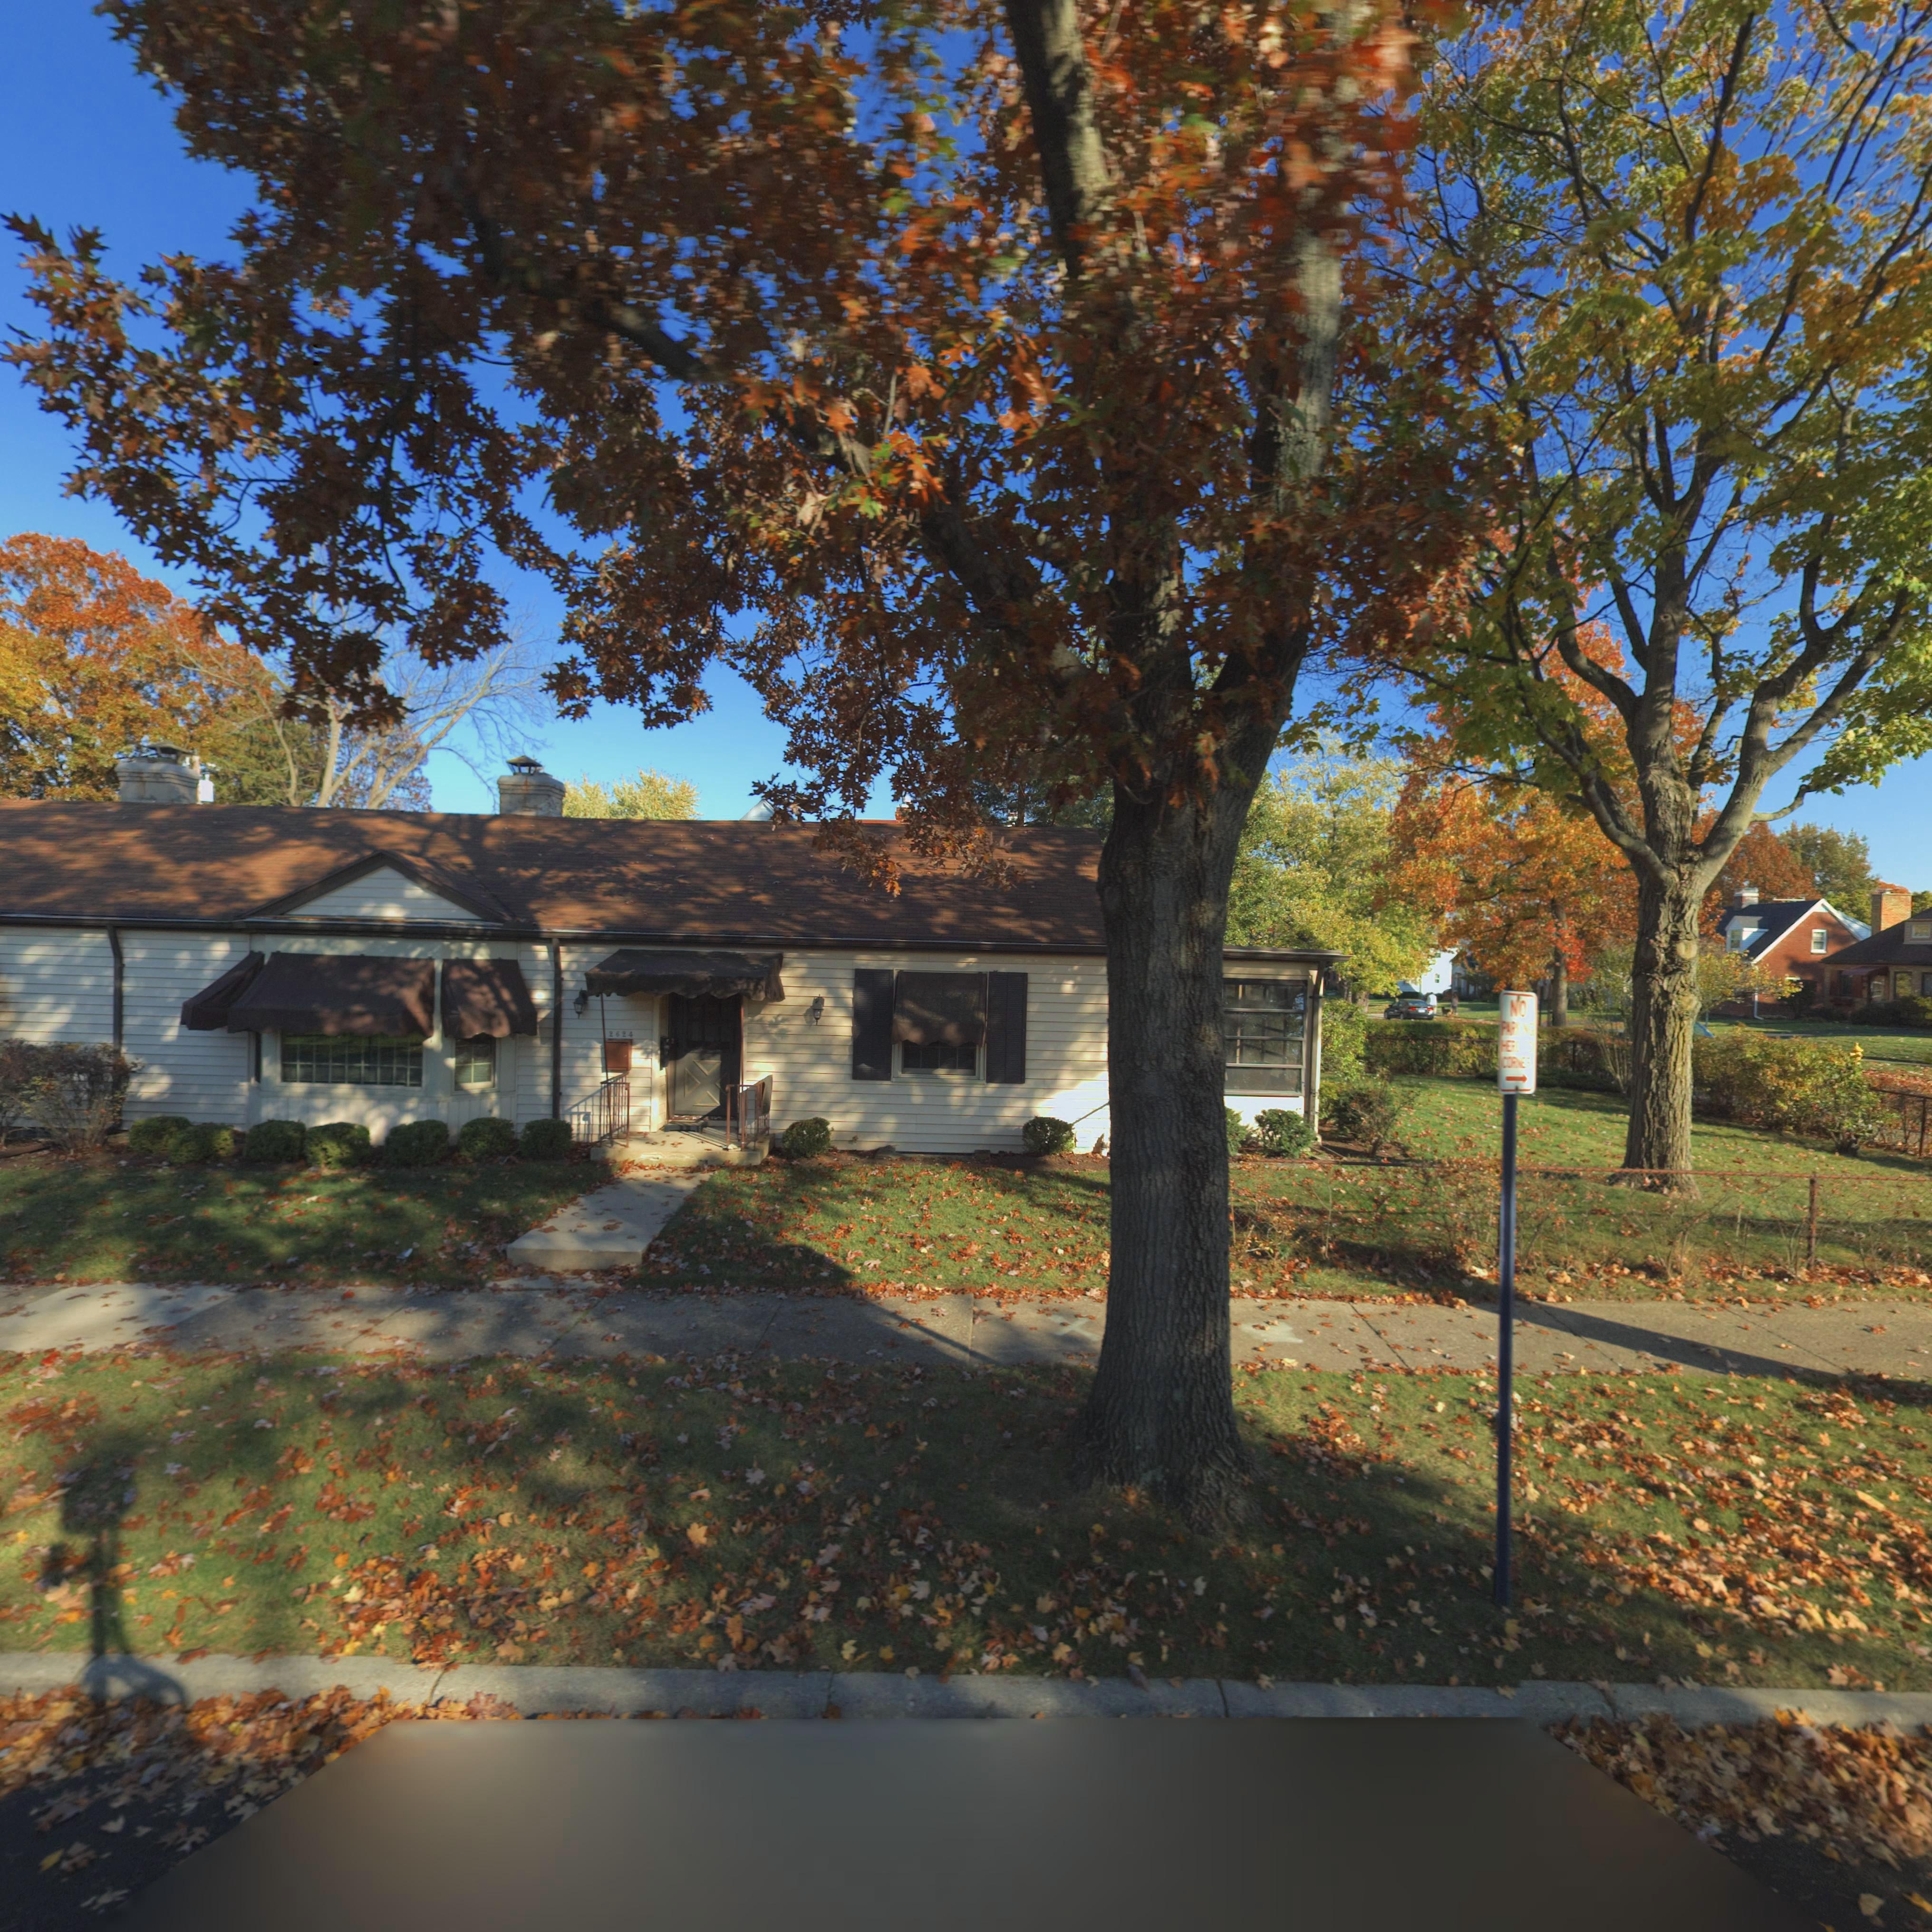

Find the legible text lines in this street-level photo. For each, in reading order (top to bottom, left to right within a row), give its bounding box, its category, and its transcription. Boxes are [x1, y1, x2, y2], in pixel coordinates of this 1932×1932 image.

[1508, 996, 1528, 1019] None: NO
[607, 1030, 634, 1039] StreetNumber: 2624
[1499, 1018, 1514, 1038] None: PA
[1499, 1038, 1513, 1053] None: HE
[1500, 1055, 1518, 1070] None: COR